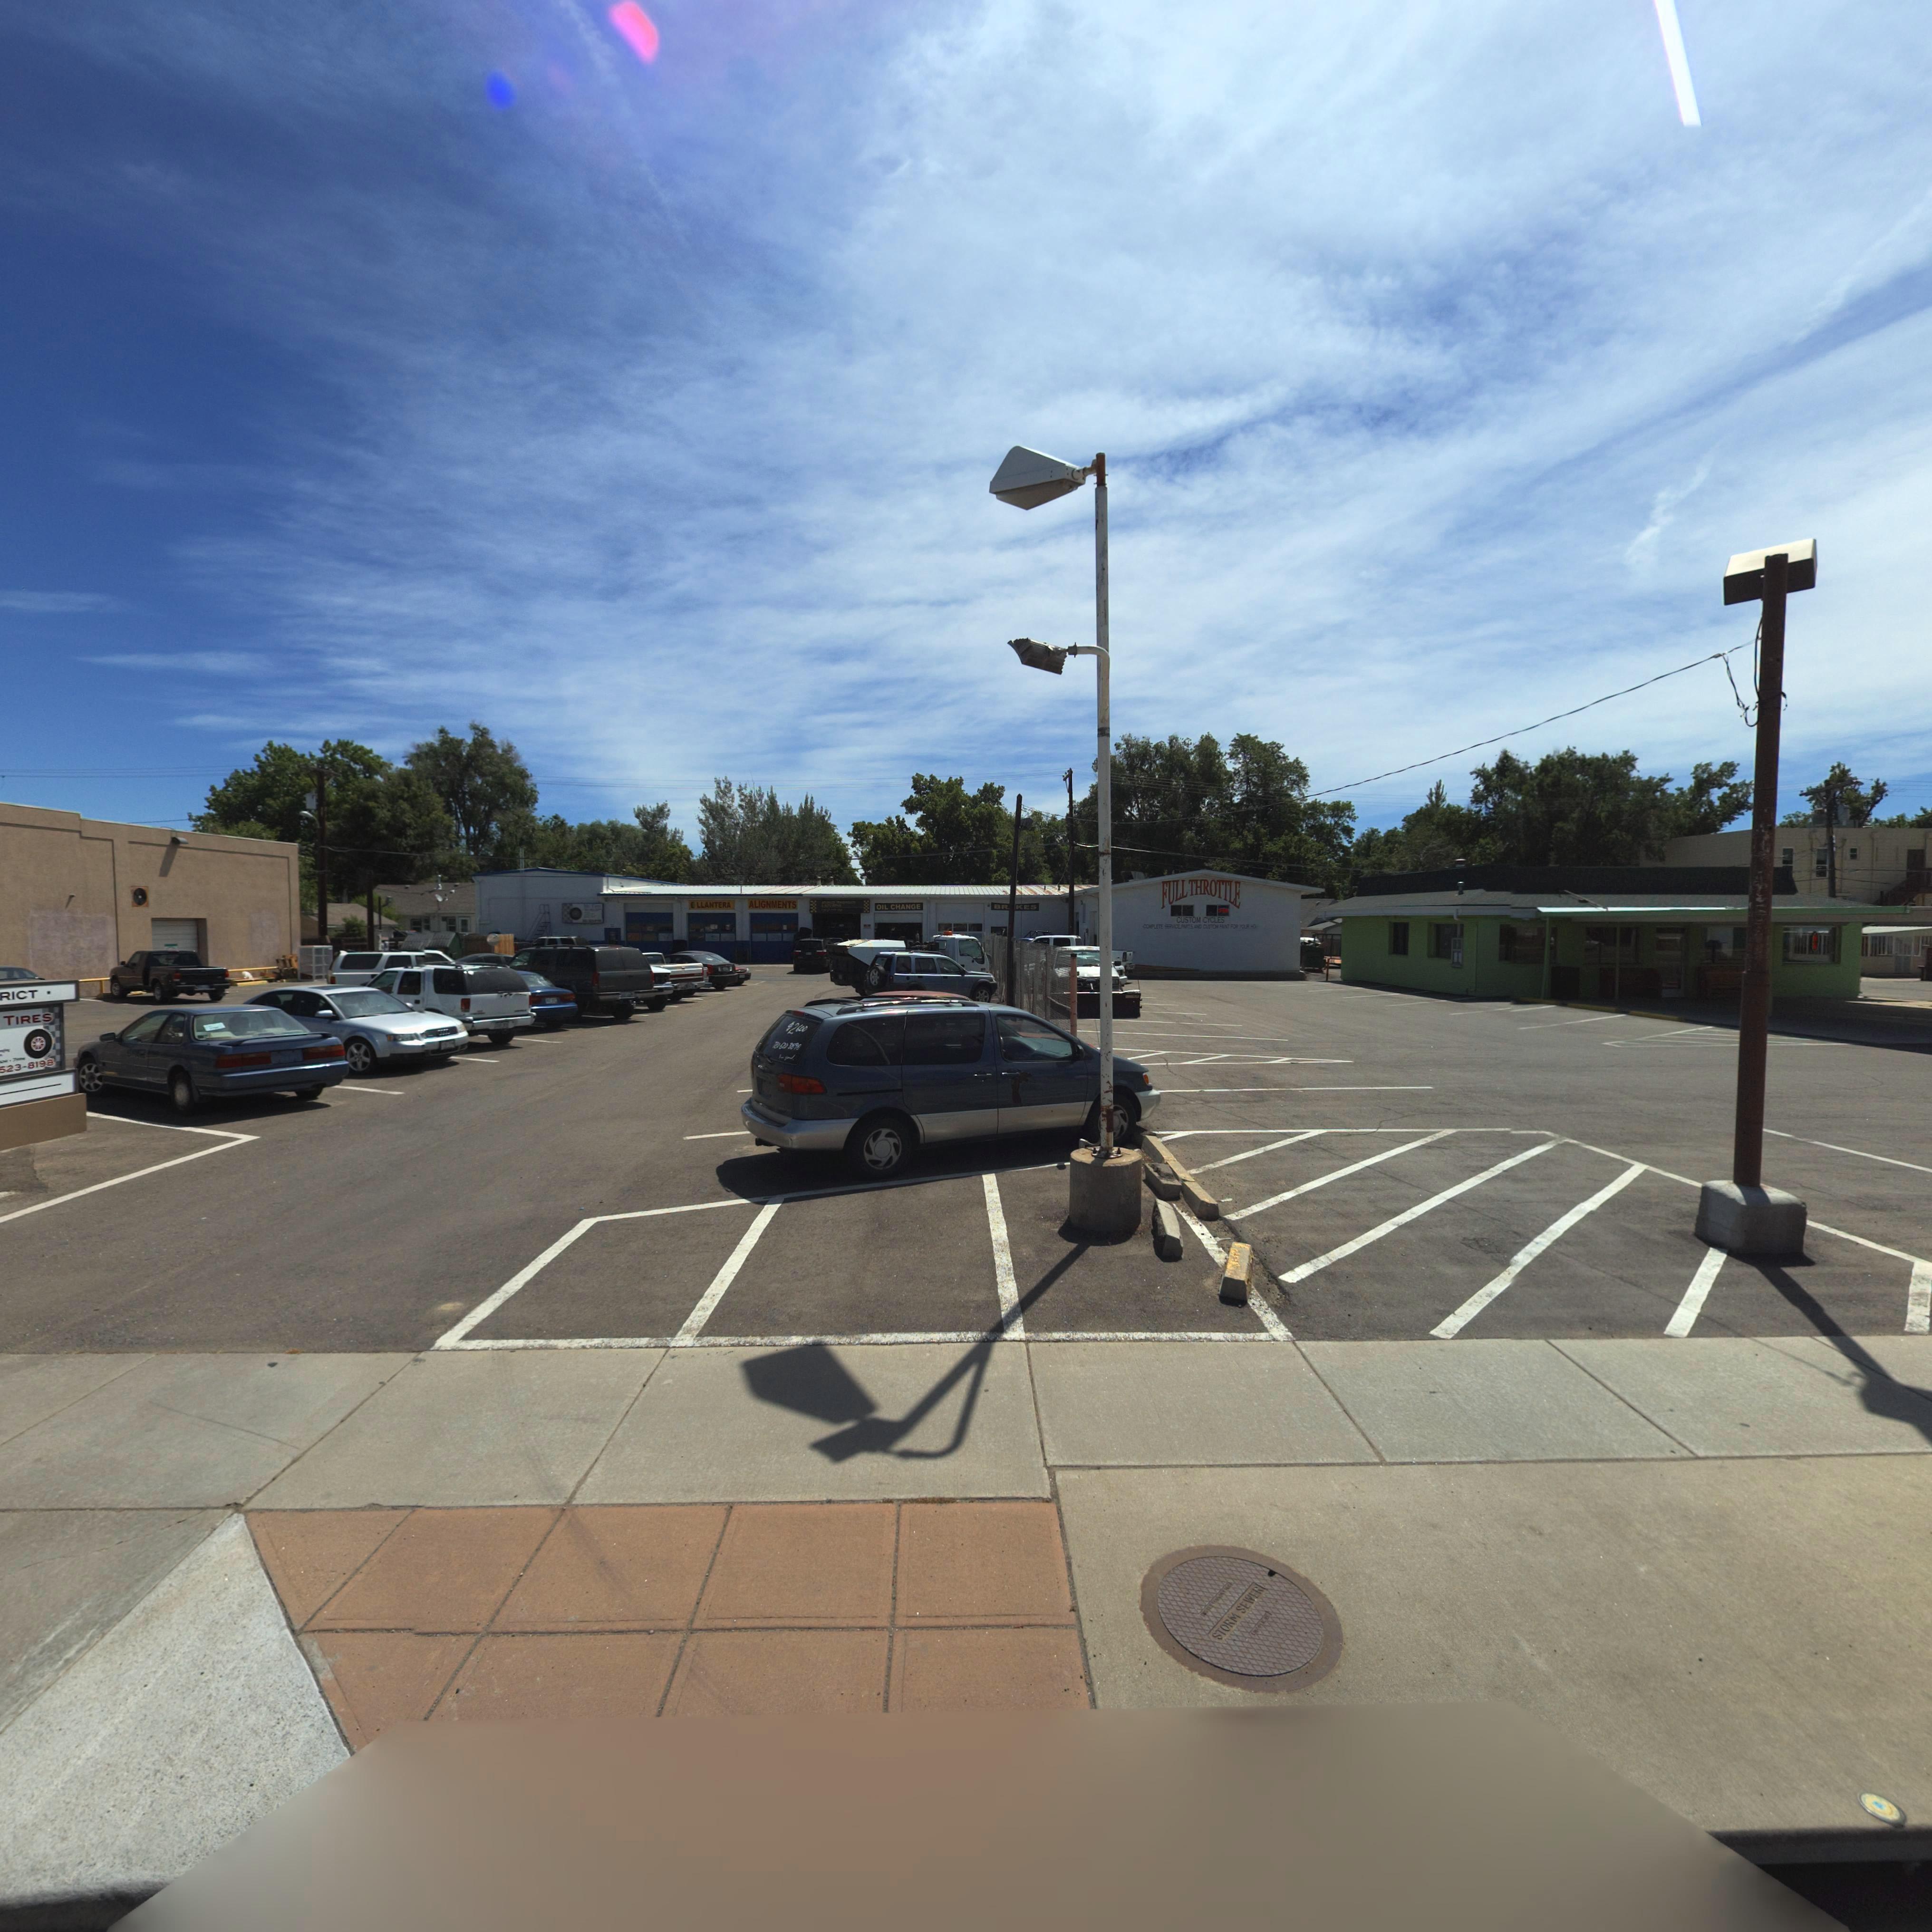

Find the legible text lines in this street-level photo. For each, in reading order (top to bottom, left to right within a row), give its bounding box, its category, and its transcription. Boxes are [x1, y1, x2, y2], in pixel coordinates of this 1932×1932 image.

[1161, 879, 1241, 910] BusinessName: FULL THROTTLE
[584, 903, 601, 908] BusinessName: MR. TIRES
[3, 1012, 53, 1026] BusinessName: Tires